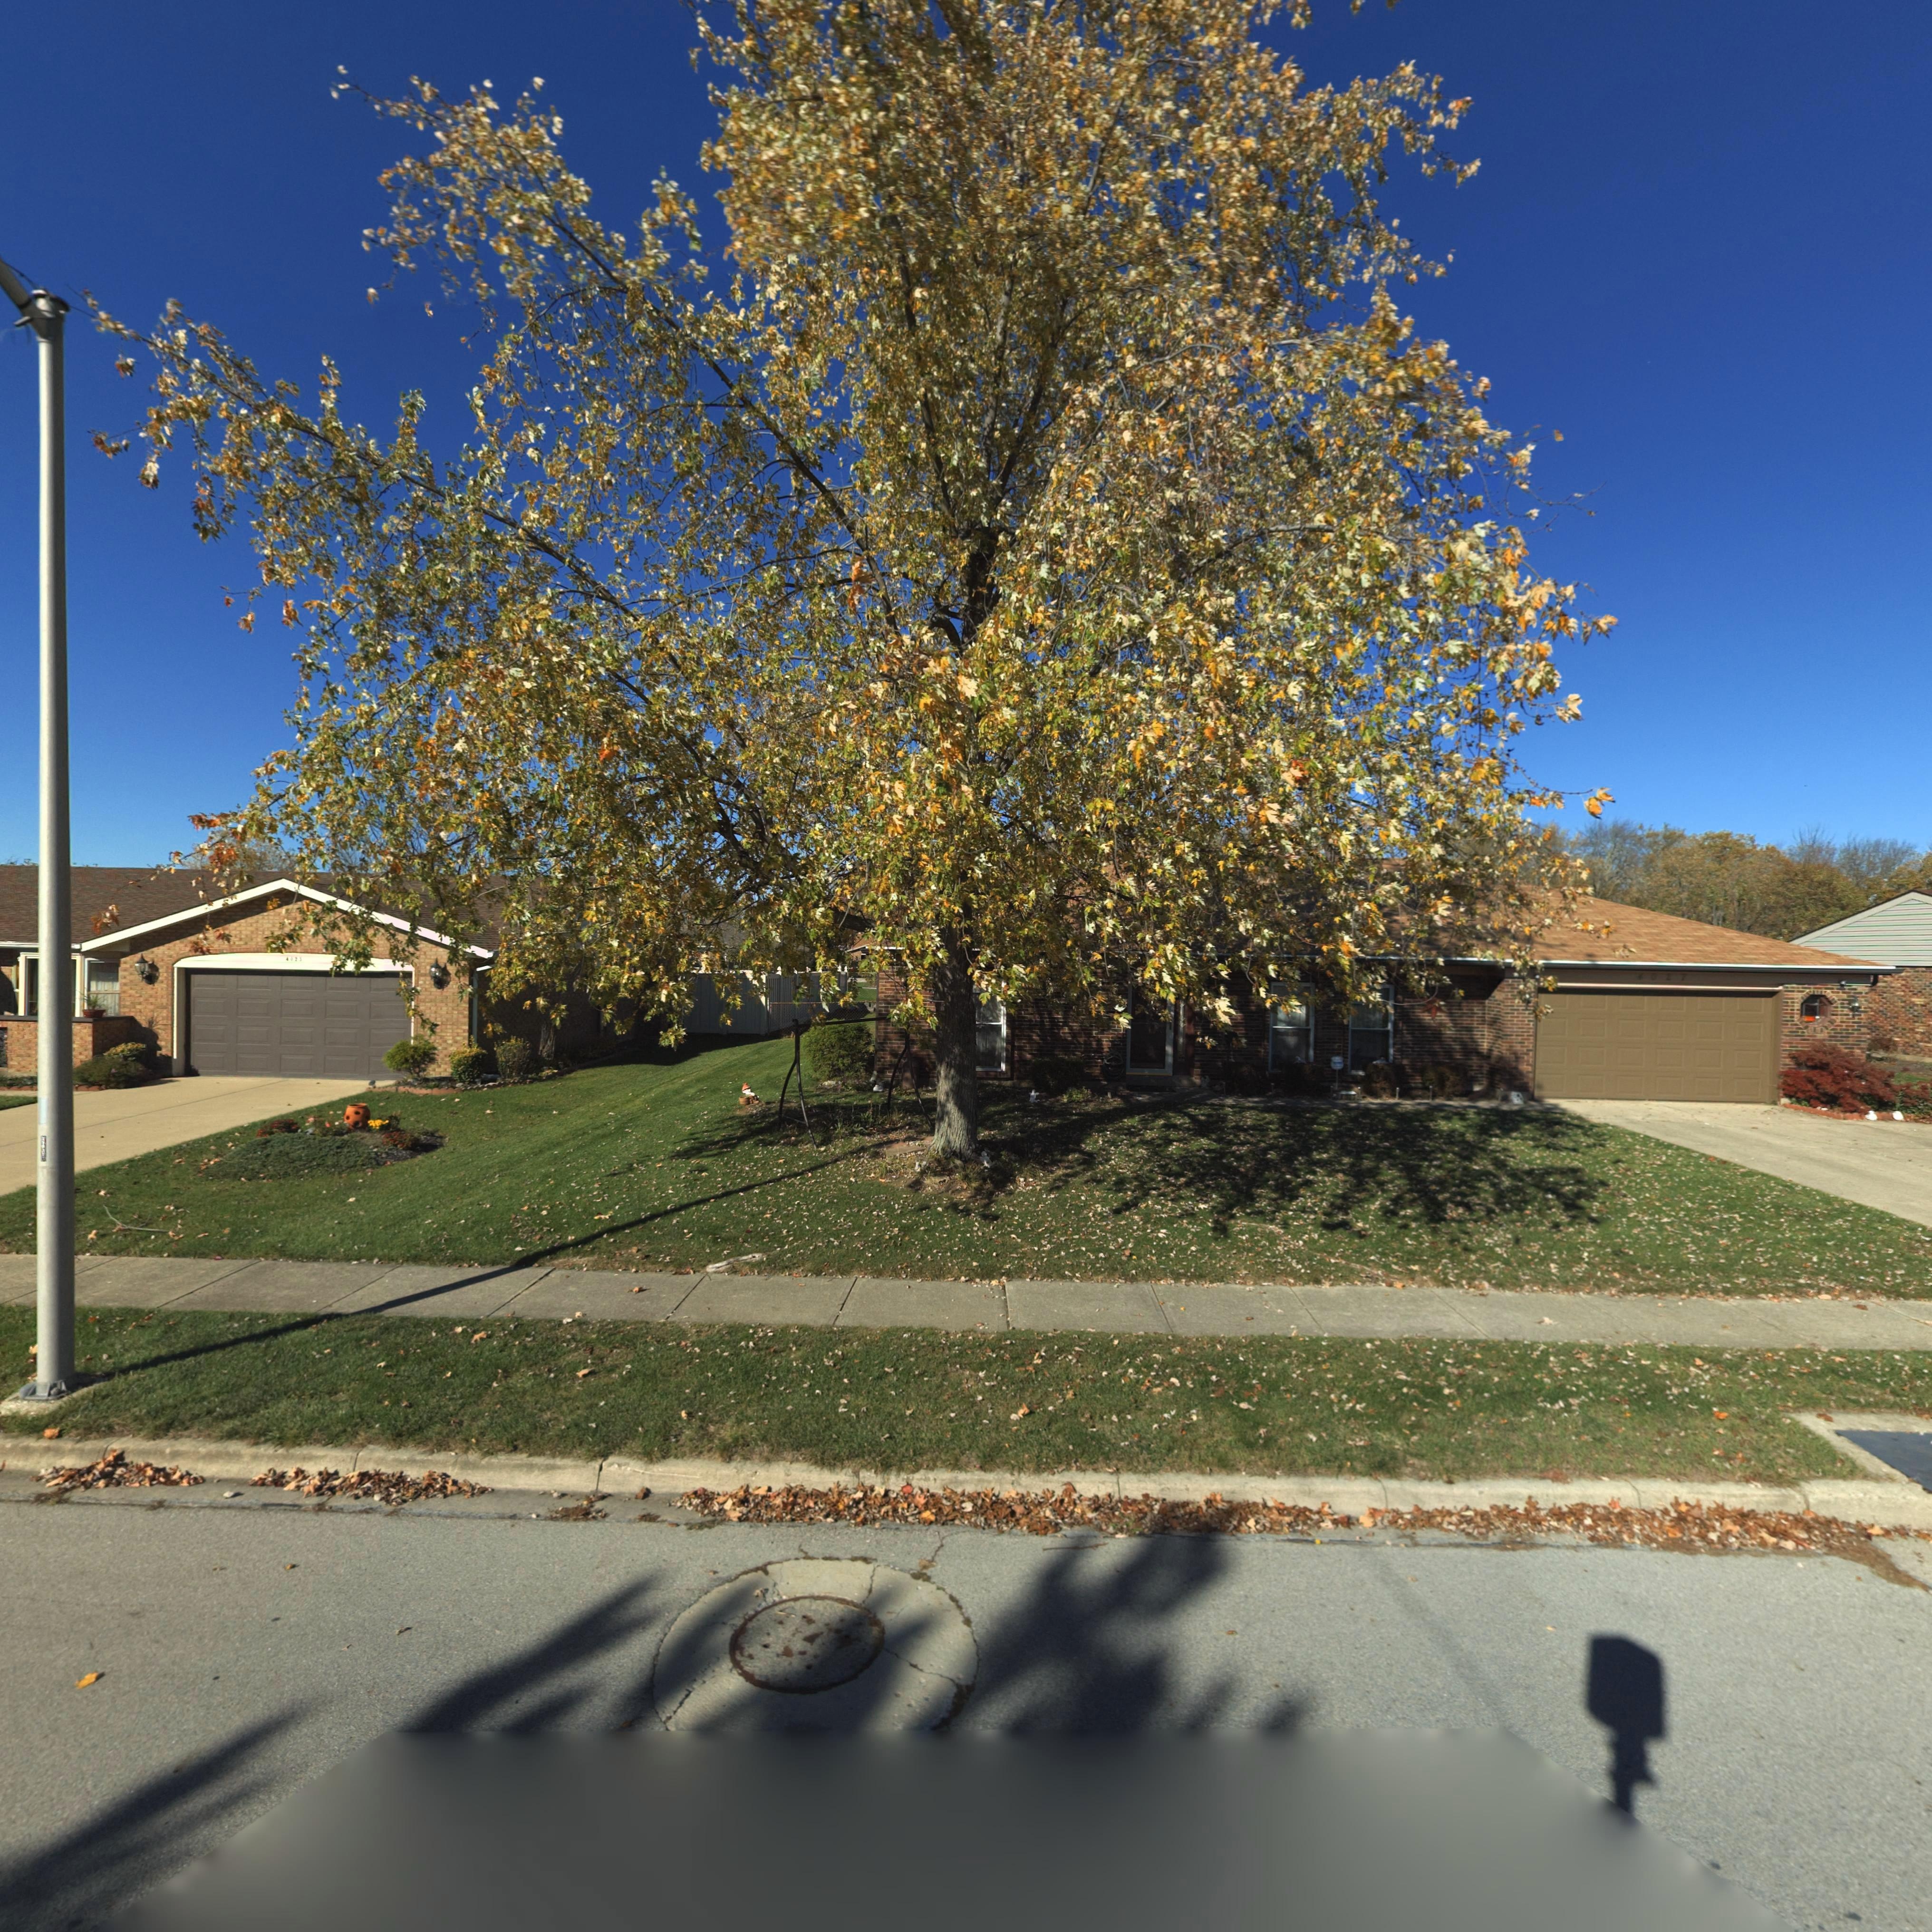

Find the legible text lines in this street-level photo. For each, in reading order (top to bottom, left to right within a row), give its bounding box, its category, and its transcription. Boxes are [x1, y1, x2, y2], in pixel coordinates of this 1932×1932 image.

[285, 956, 302, 962] StreetNumber: 4025
[1636, 971, 1690, 982] StreetNumber: 4027